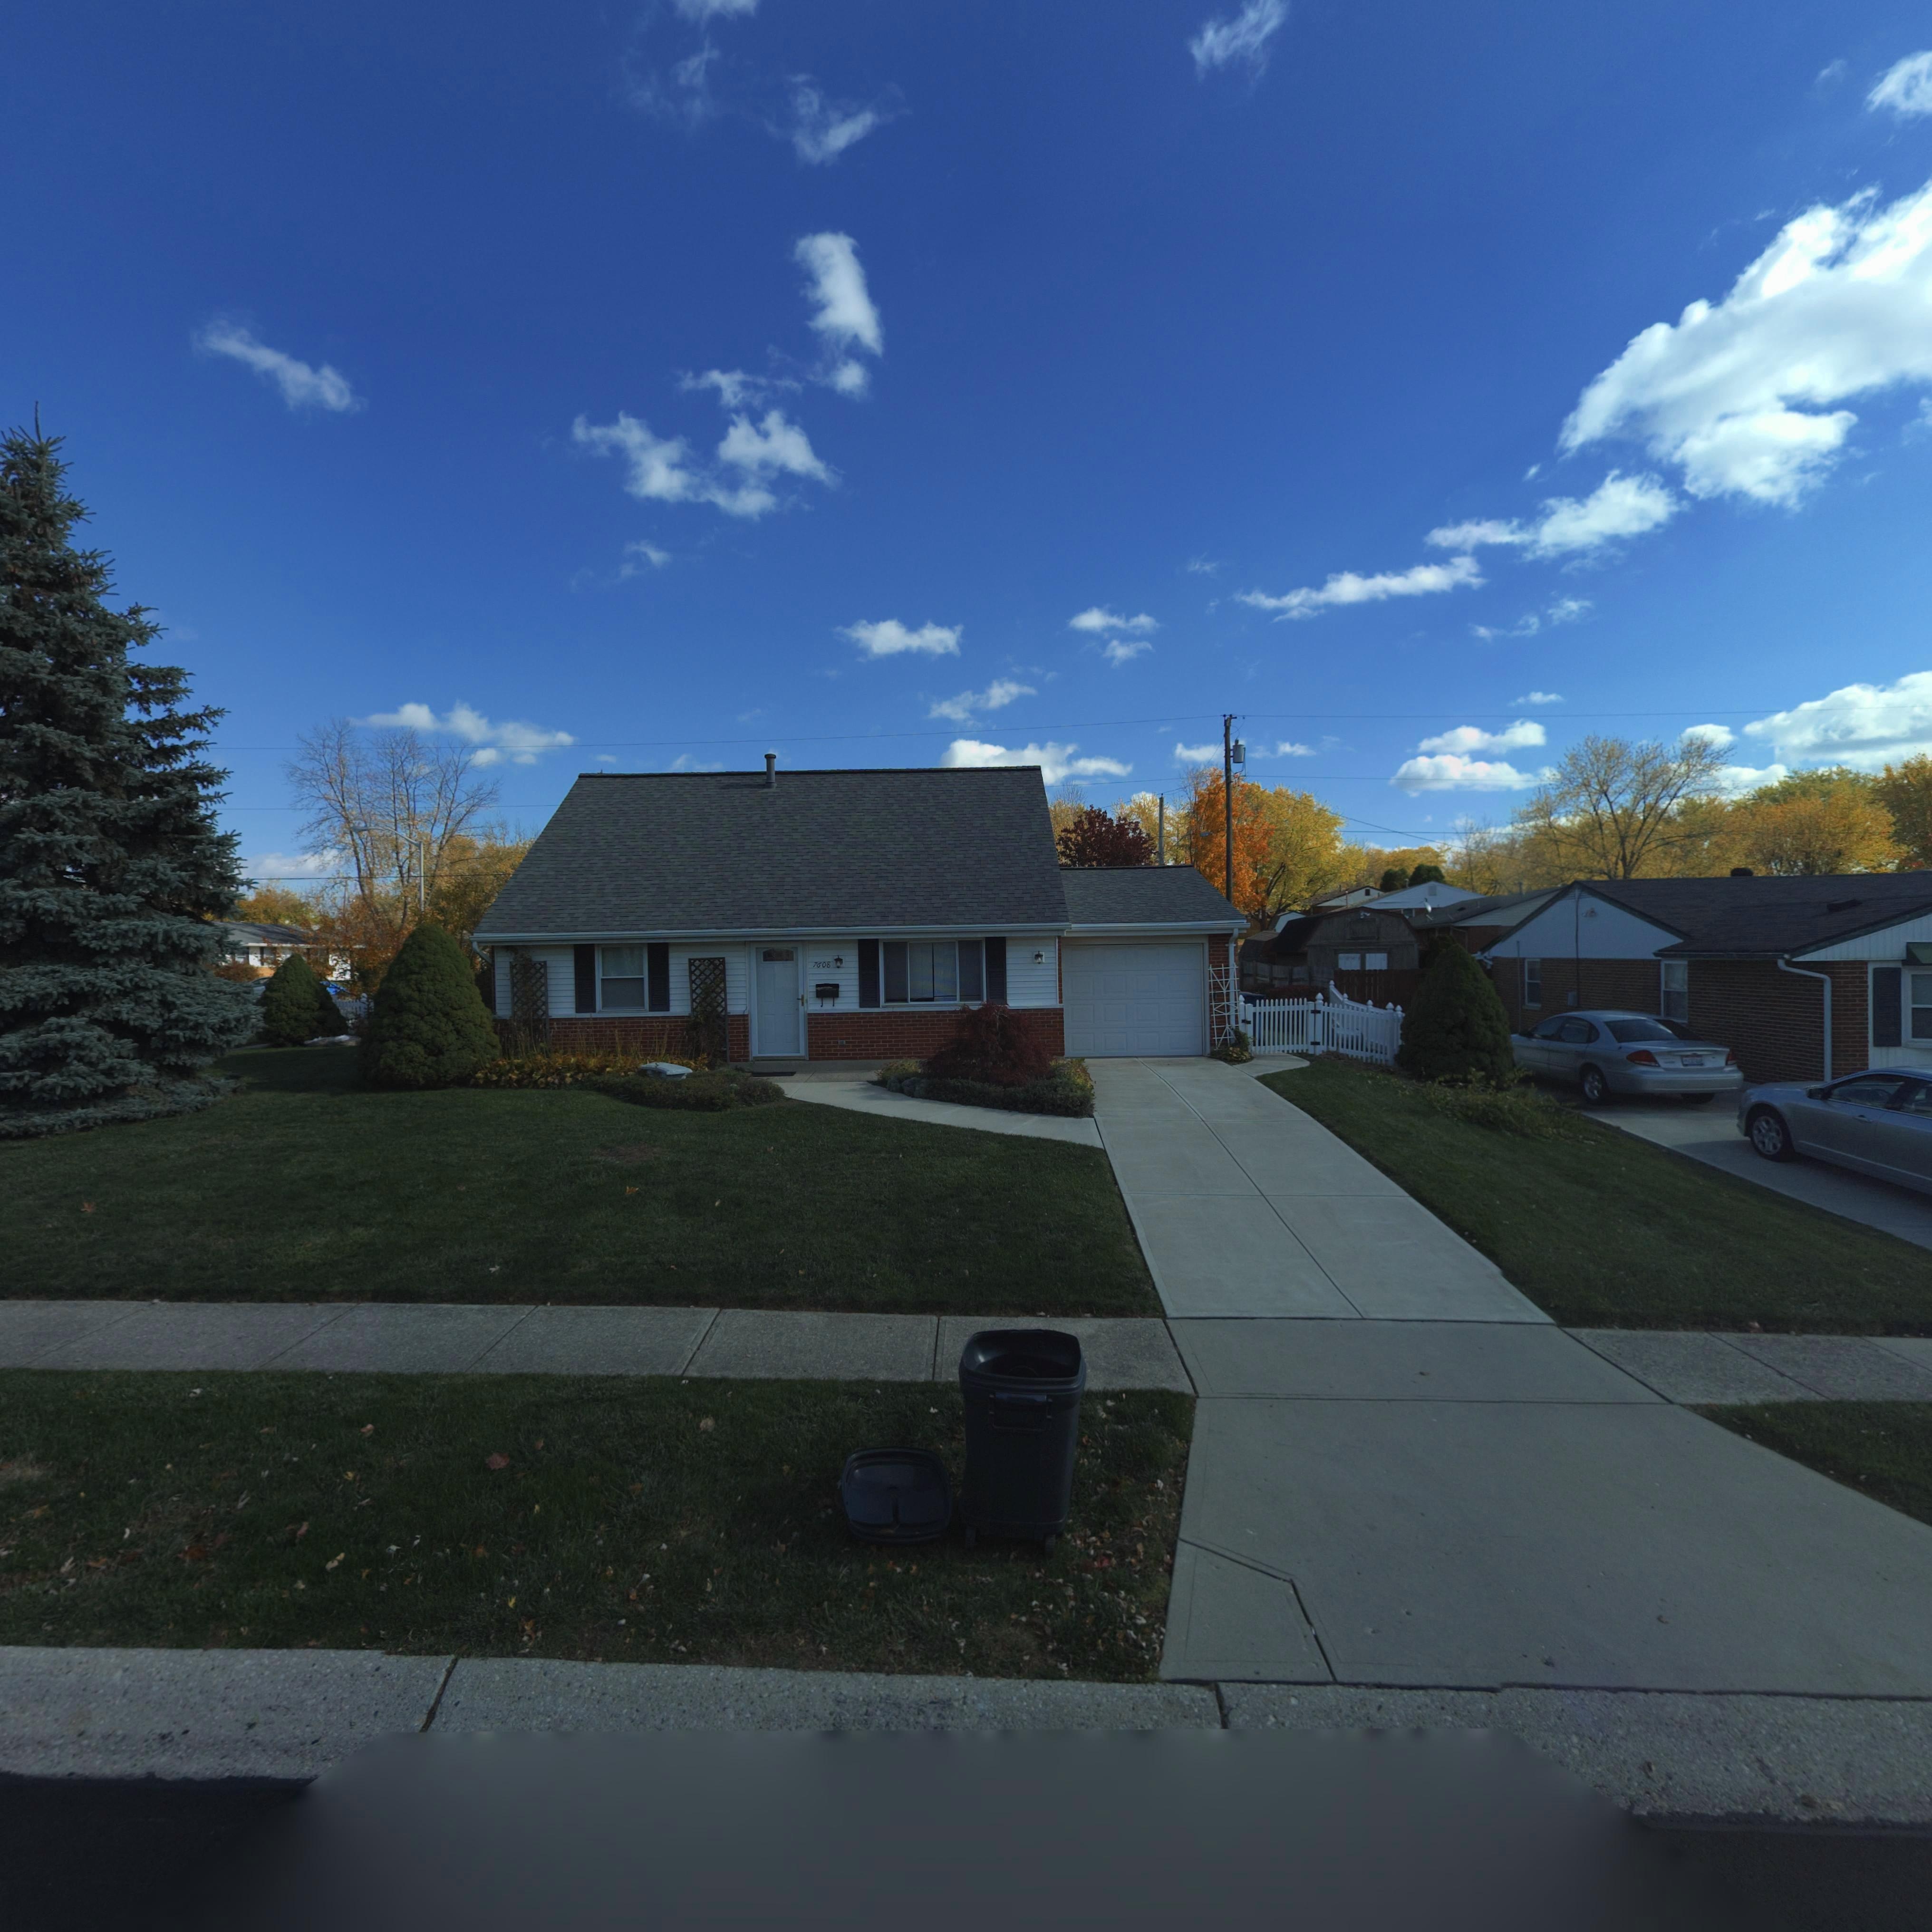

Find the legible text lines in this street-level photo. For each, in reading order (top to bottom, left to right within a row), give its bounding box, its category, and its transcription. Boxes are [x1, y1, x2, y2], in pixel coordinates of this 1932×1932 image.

[812, 961, 831, 968] StreetNumber: 7608